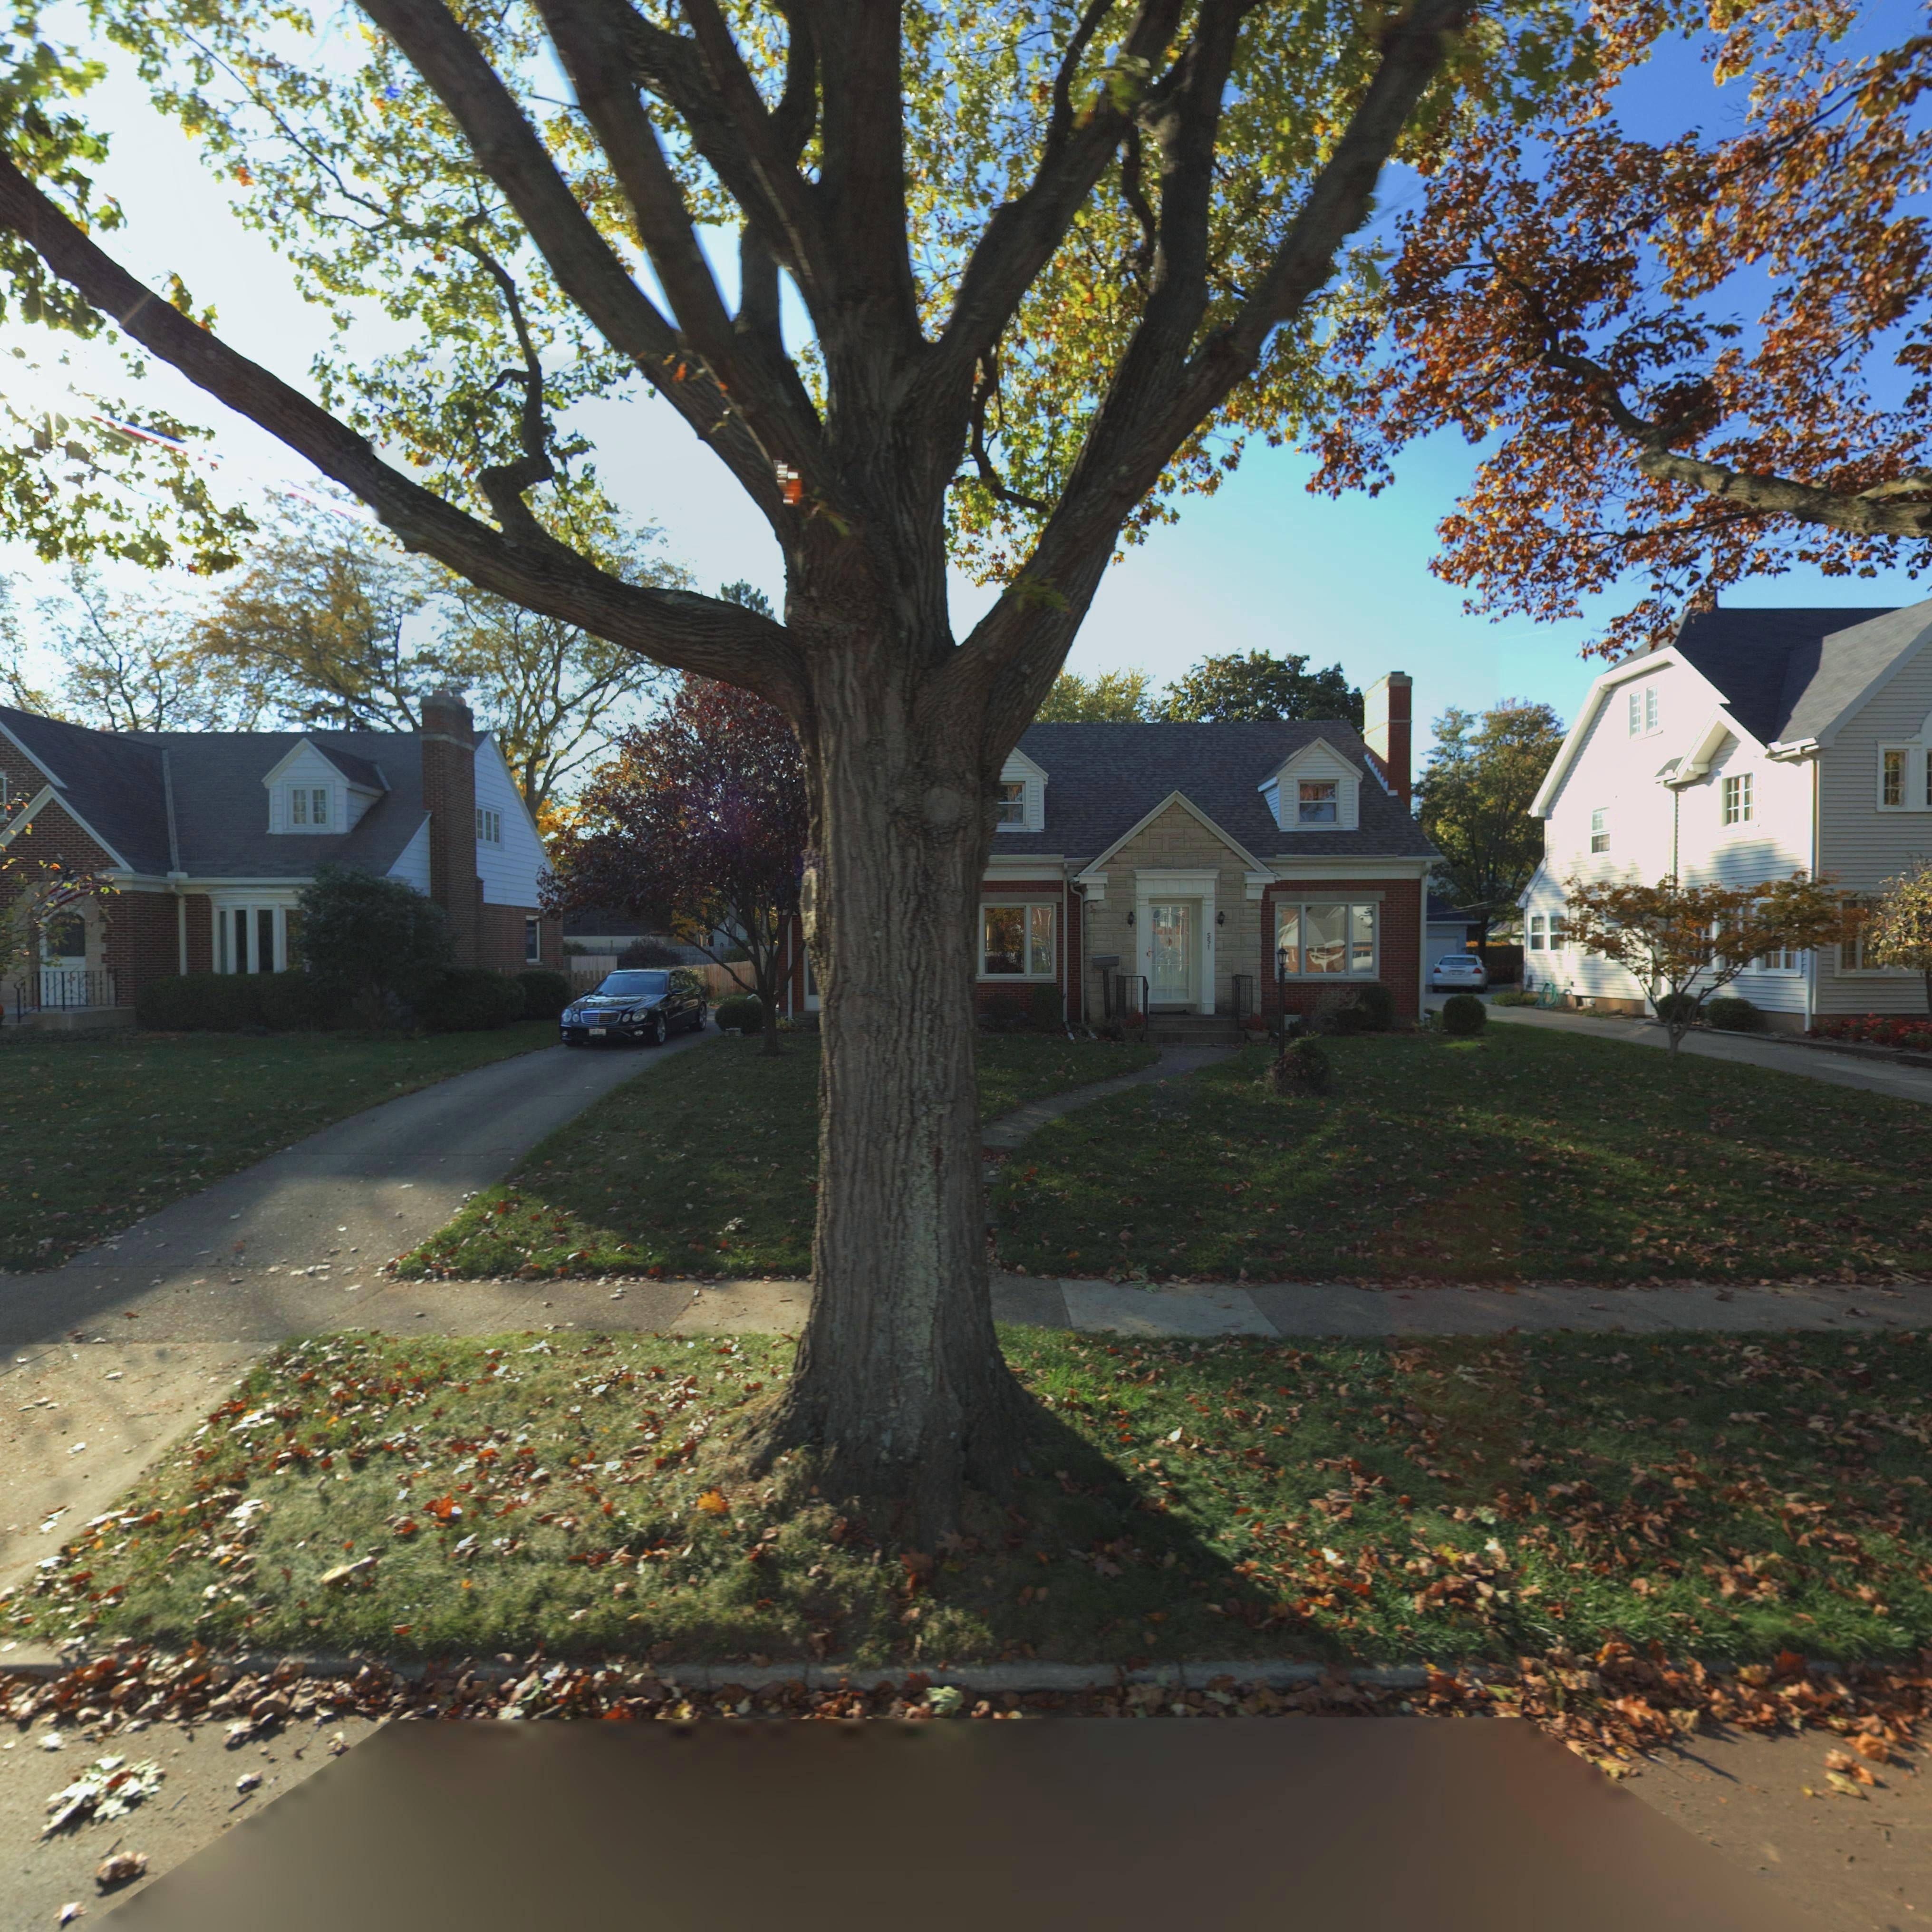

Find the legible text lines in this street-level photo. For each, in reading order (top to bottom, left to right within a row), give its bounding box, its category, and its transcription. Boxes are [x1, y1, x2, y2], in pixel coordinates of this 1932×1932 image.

[1206, 932, 1212, 951] StreetNumber: 551